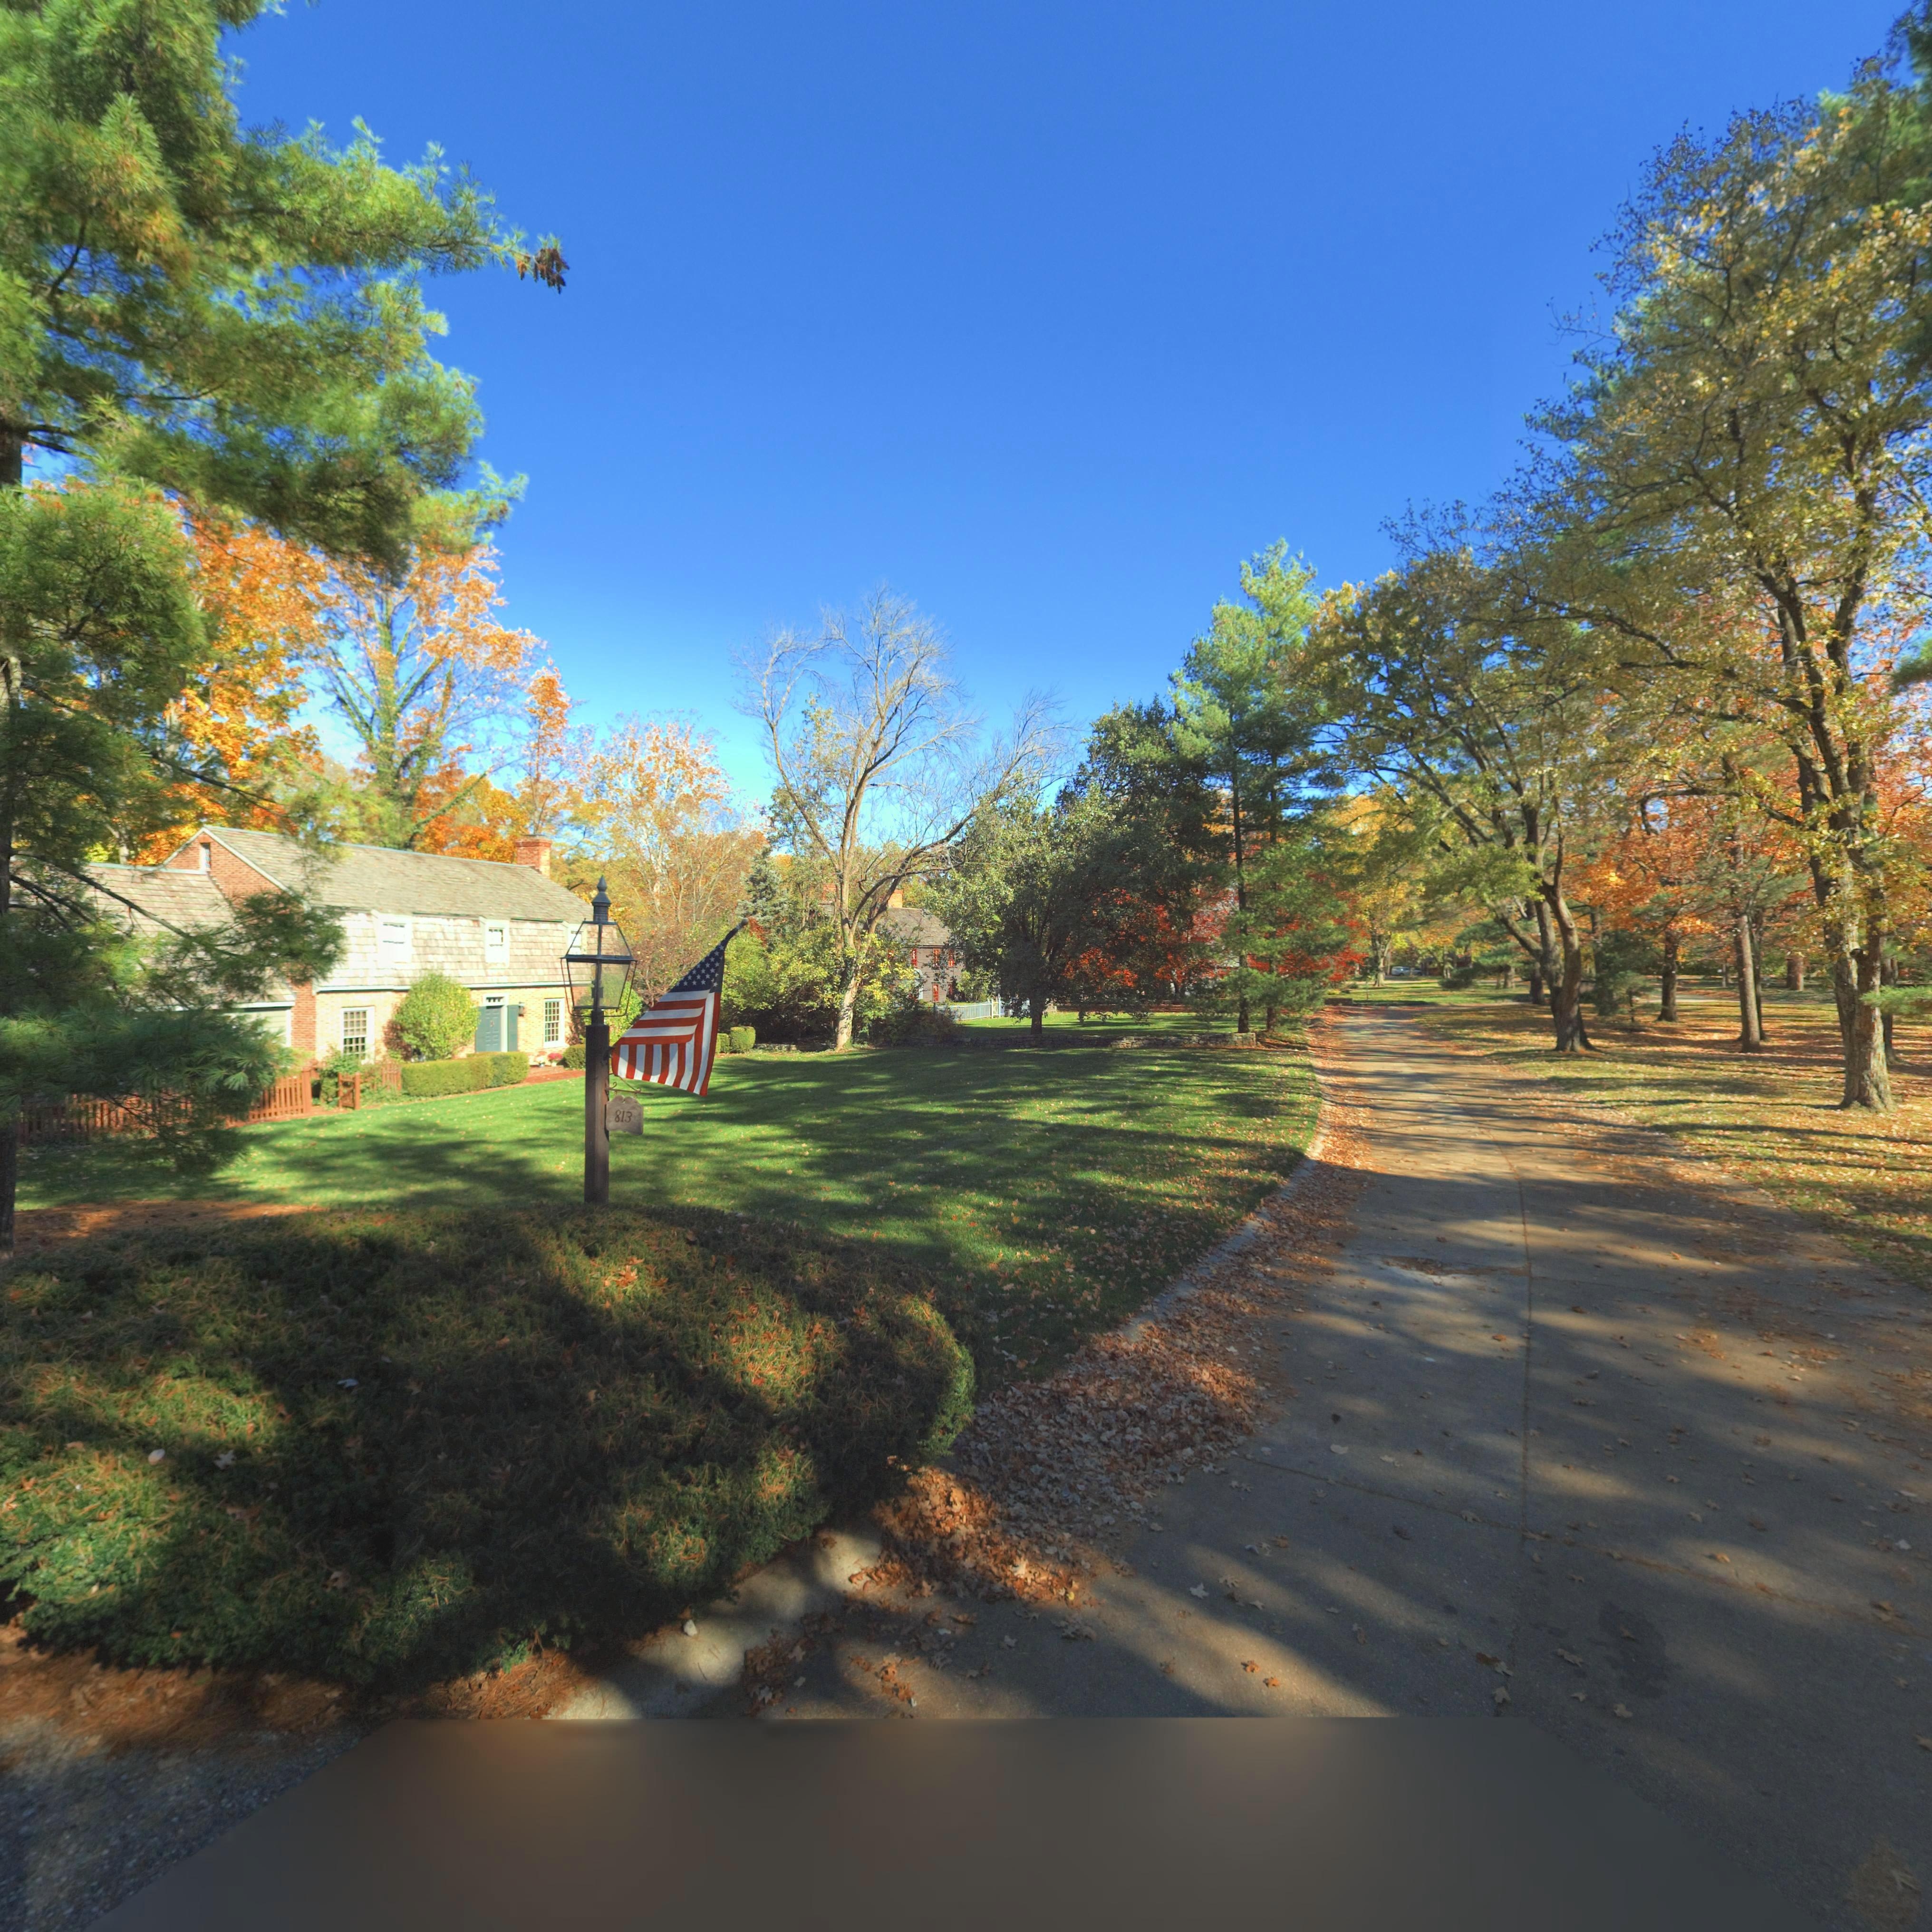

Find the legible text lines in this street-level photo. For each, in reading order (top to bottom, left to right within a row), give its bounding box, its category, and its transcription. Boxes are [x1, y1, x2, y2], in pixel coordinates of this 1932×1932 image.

[614, 1109, 633, 1123] StreetNumber: 813